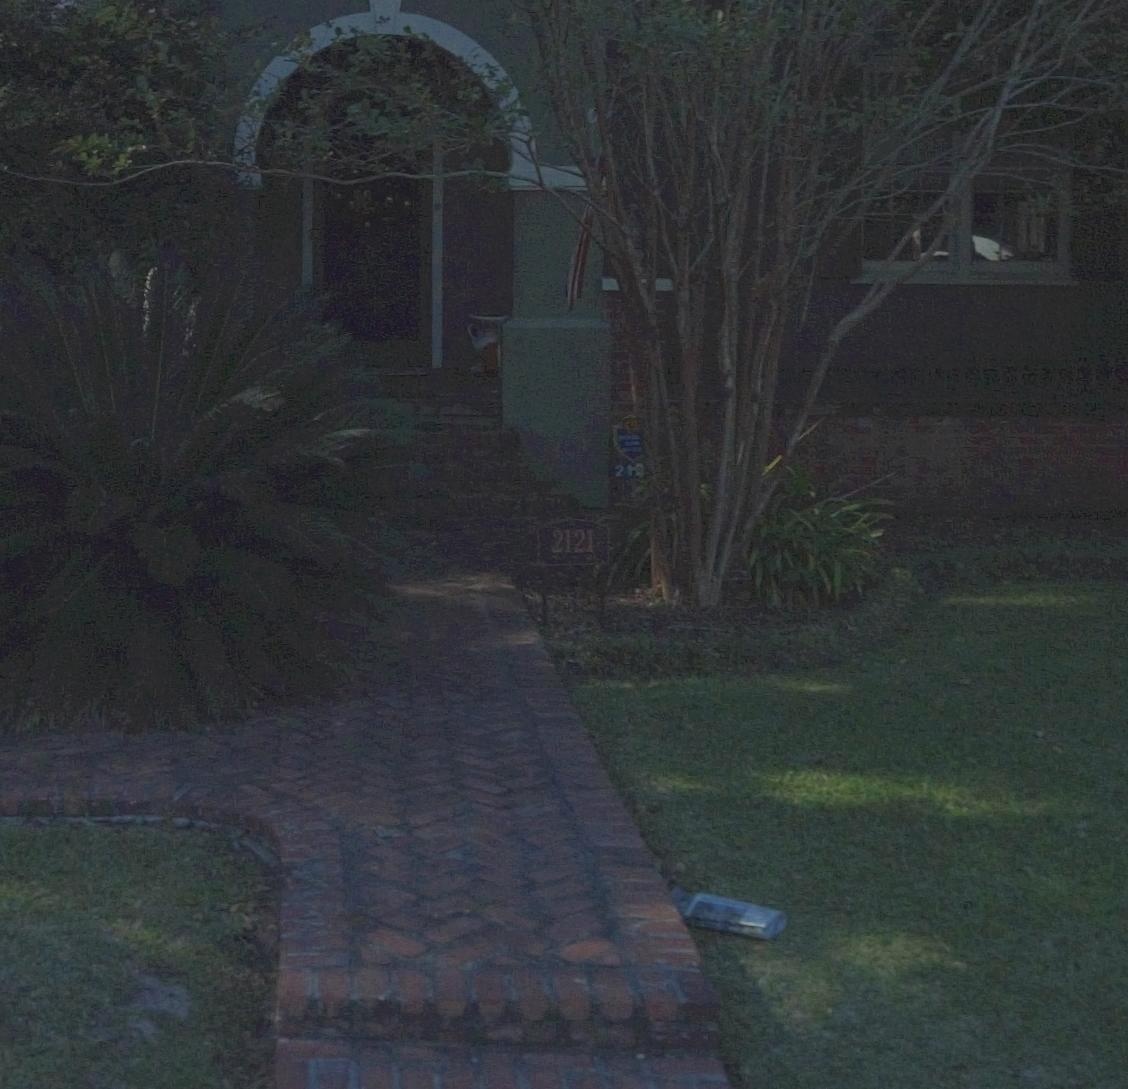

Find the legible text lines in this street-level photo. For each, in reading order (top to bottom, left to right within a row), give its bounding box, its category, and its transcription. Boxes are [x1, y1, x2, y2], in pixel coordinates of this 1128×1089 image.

[613, 463, 635, 479] StreetNumber: 21
[550, 527, 595, 555] StreetNumber: 2121